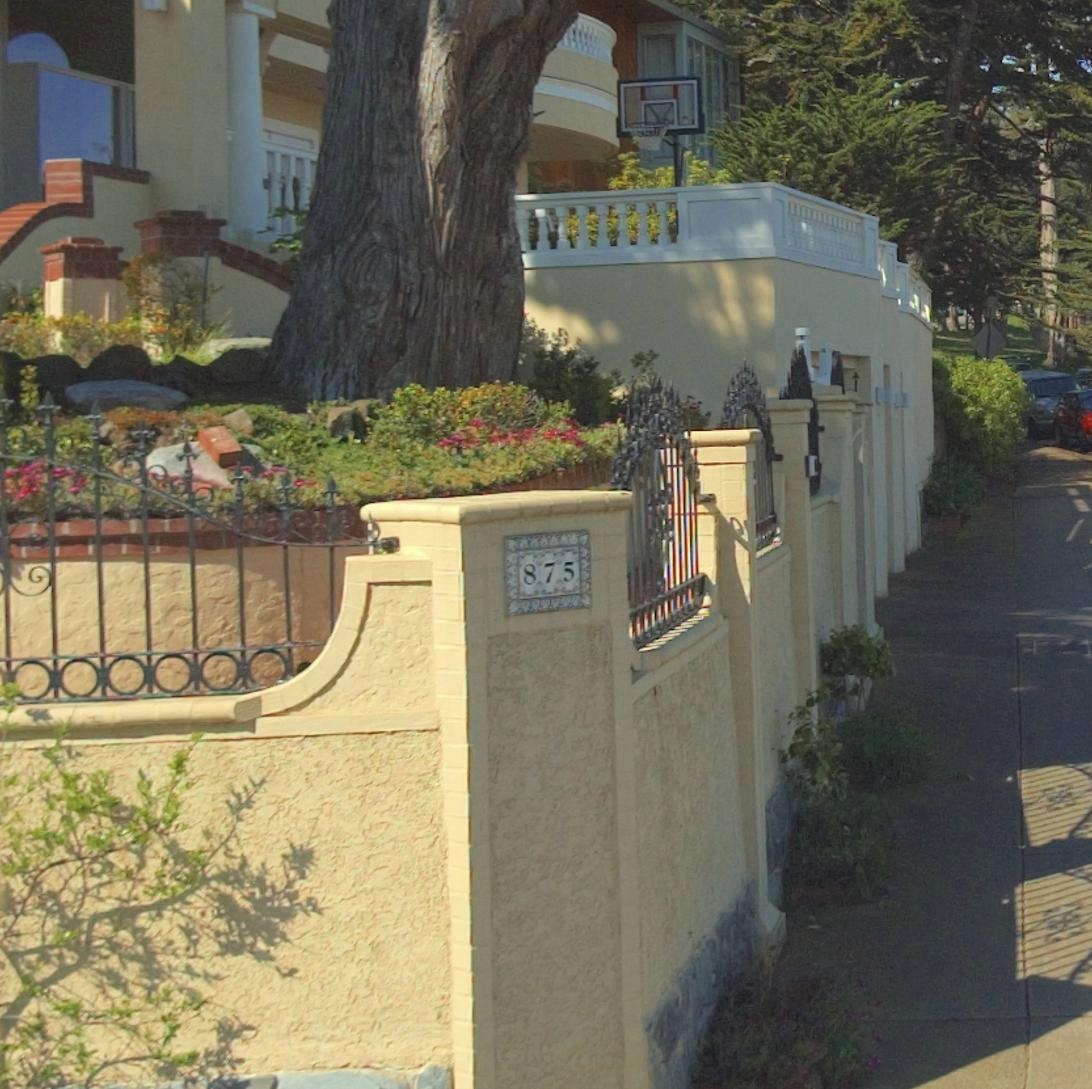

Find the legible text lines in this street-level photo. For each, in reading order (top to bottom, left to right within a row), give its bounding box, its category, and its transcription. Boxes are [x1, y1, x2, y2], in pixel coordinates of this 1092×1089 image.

[521, 558, 576, 588] StreetNumber: 875